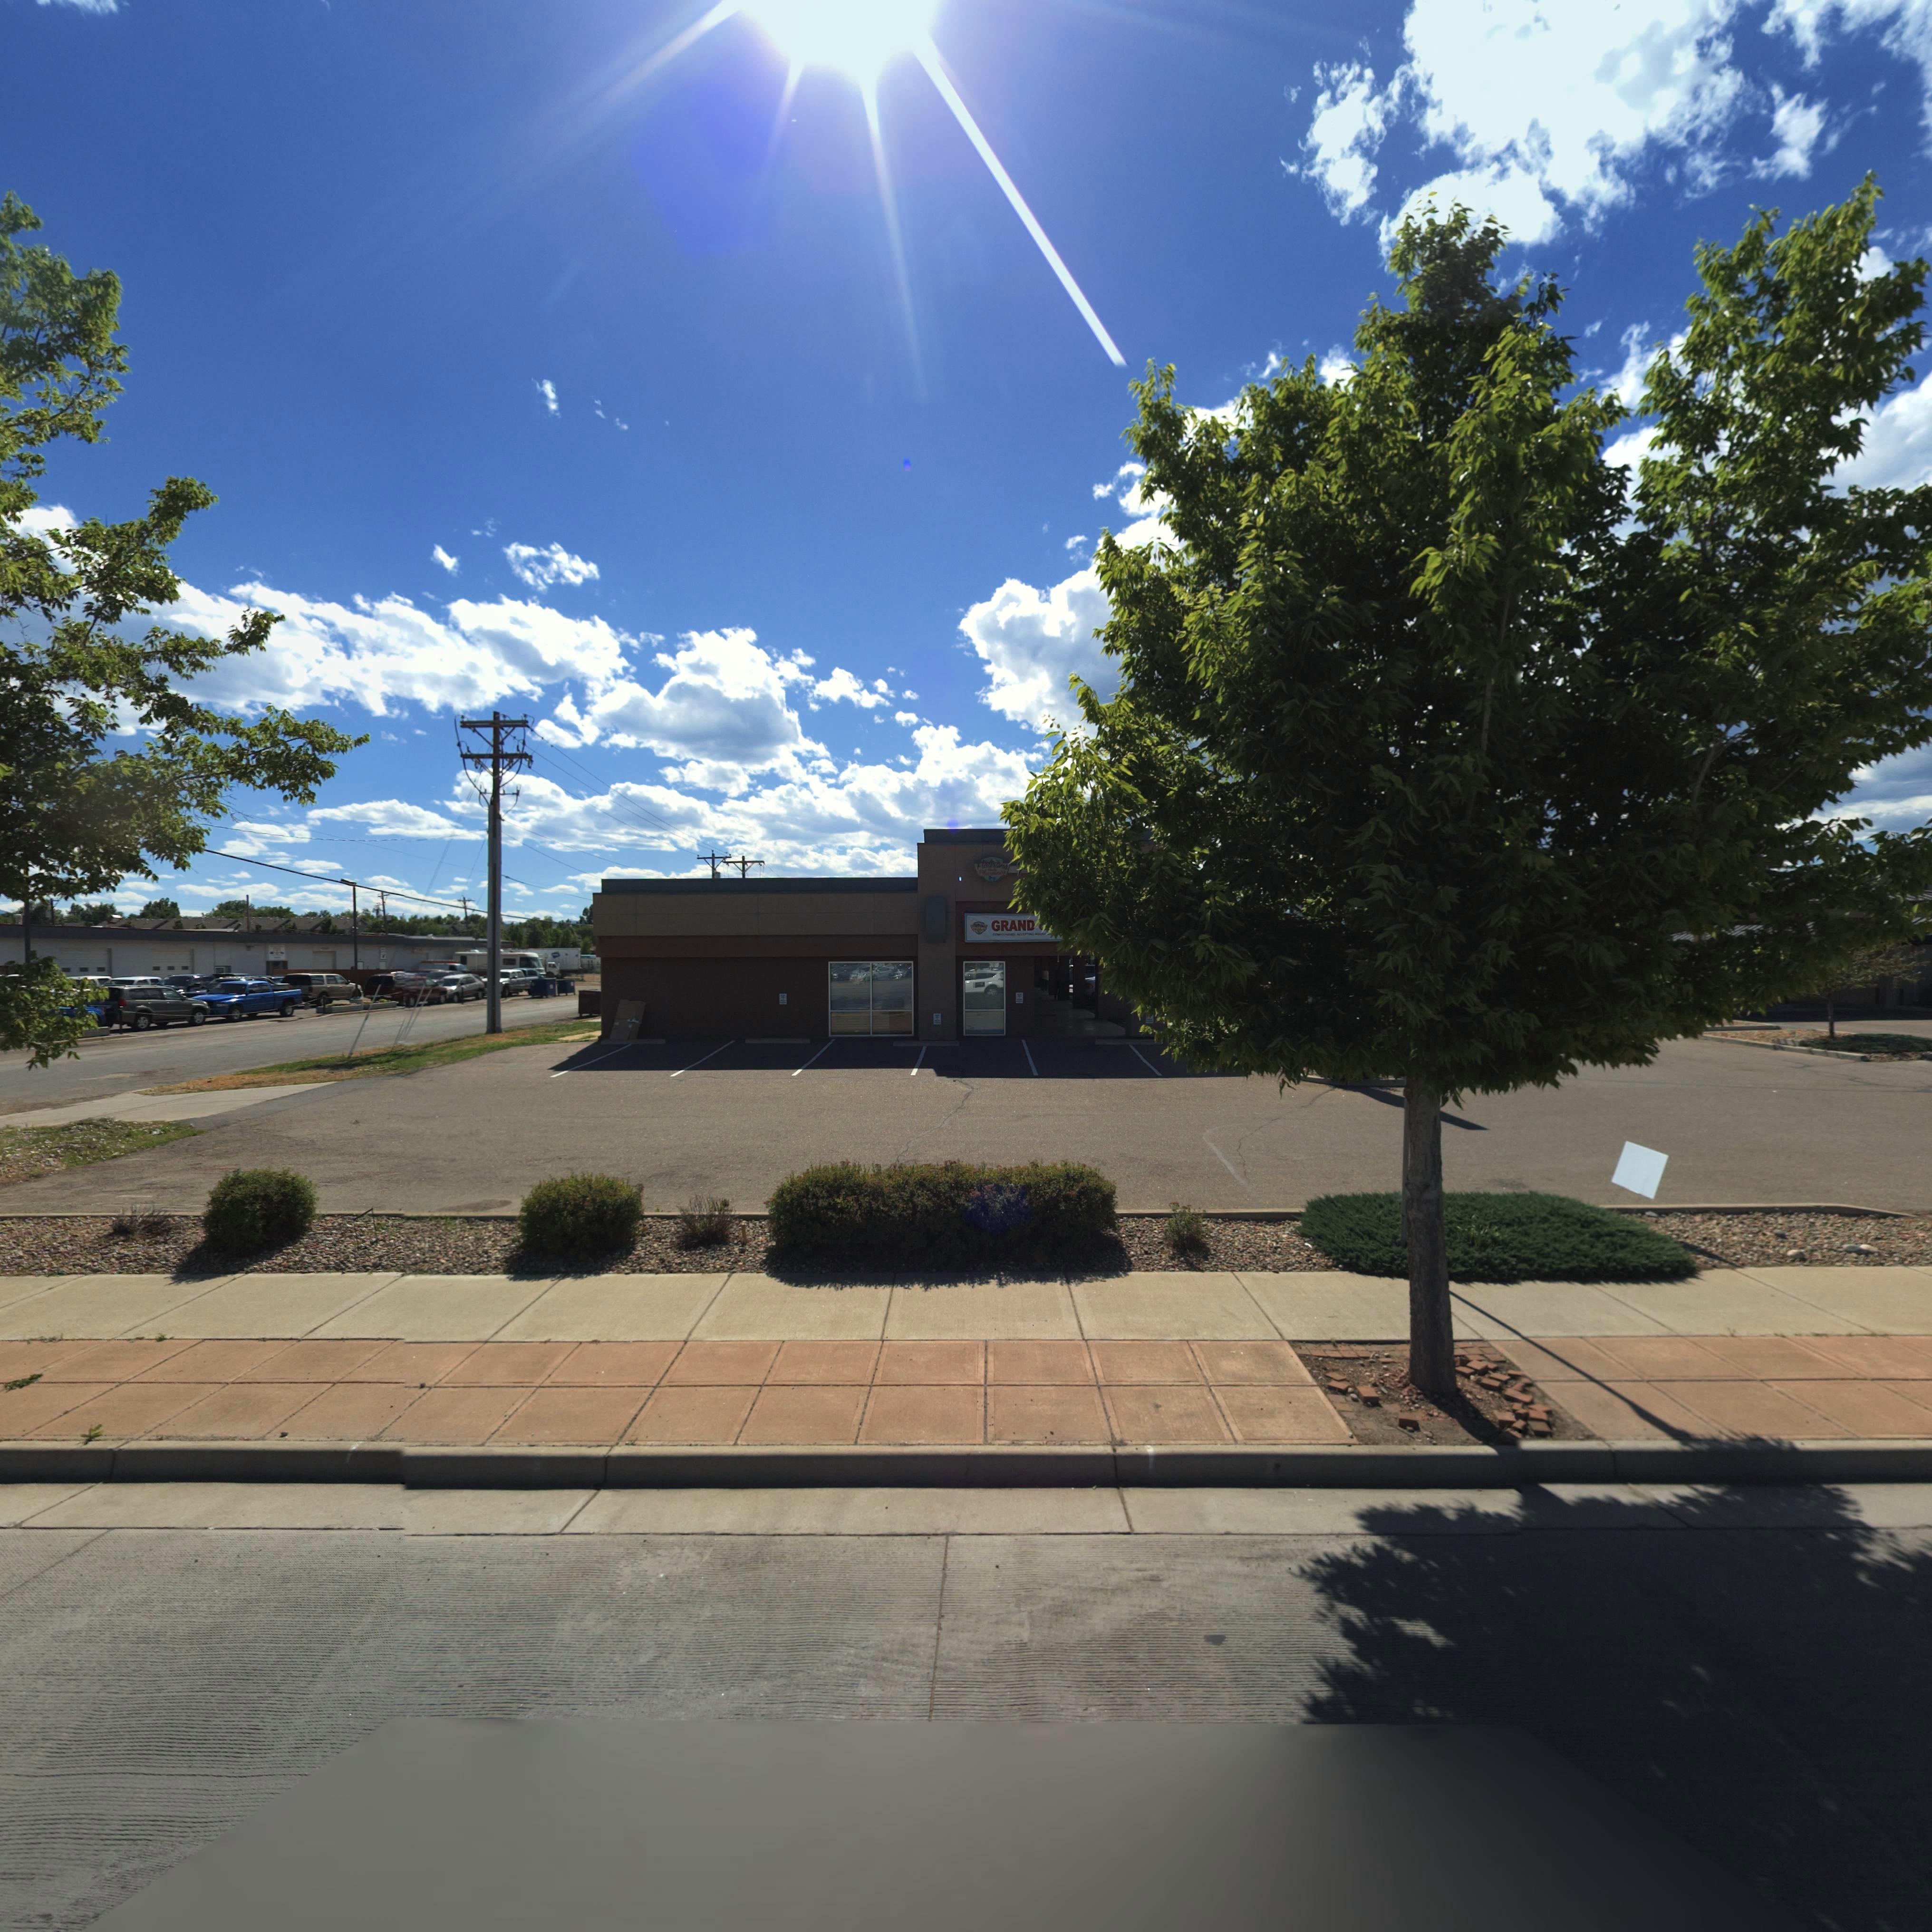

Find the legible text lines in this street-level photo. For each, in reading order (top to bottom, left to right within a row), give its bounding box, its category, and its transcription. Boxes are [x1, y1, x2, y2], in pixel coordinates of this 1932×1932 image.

[976, 860, 1009, 870] BusinessName: Flatirons
[978, 869, 1006, 877] BusinessName: Pharmacy